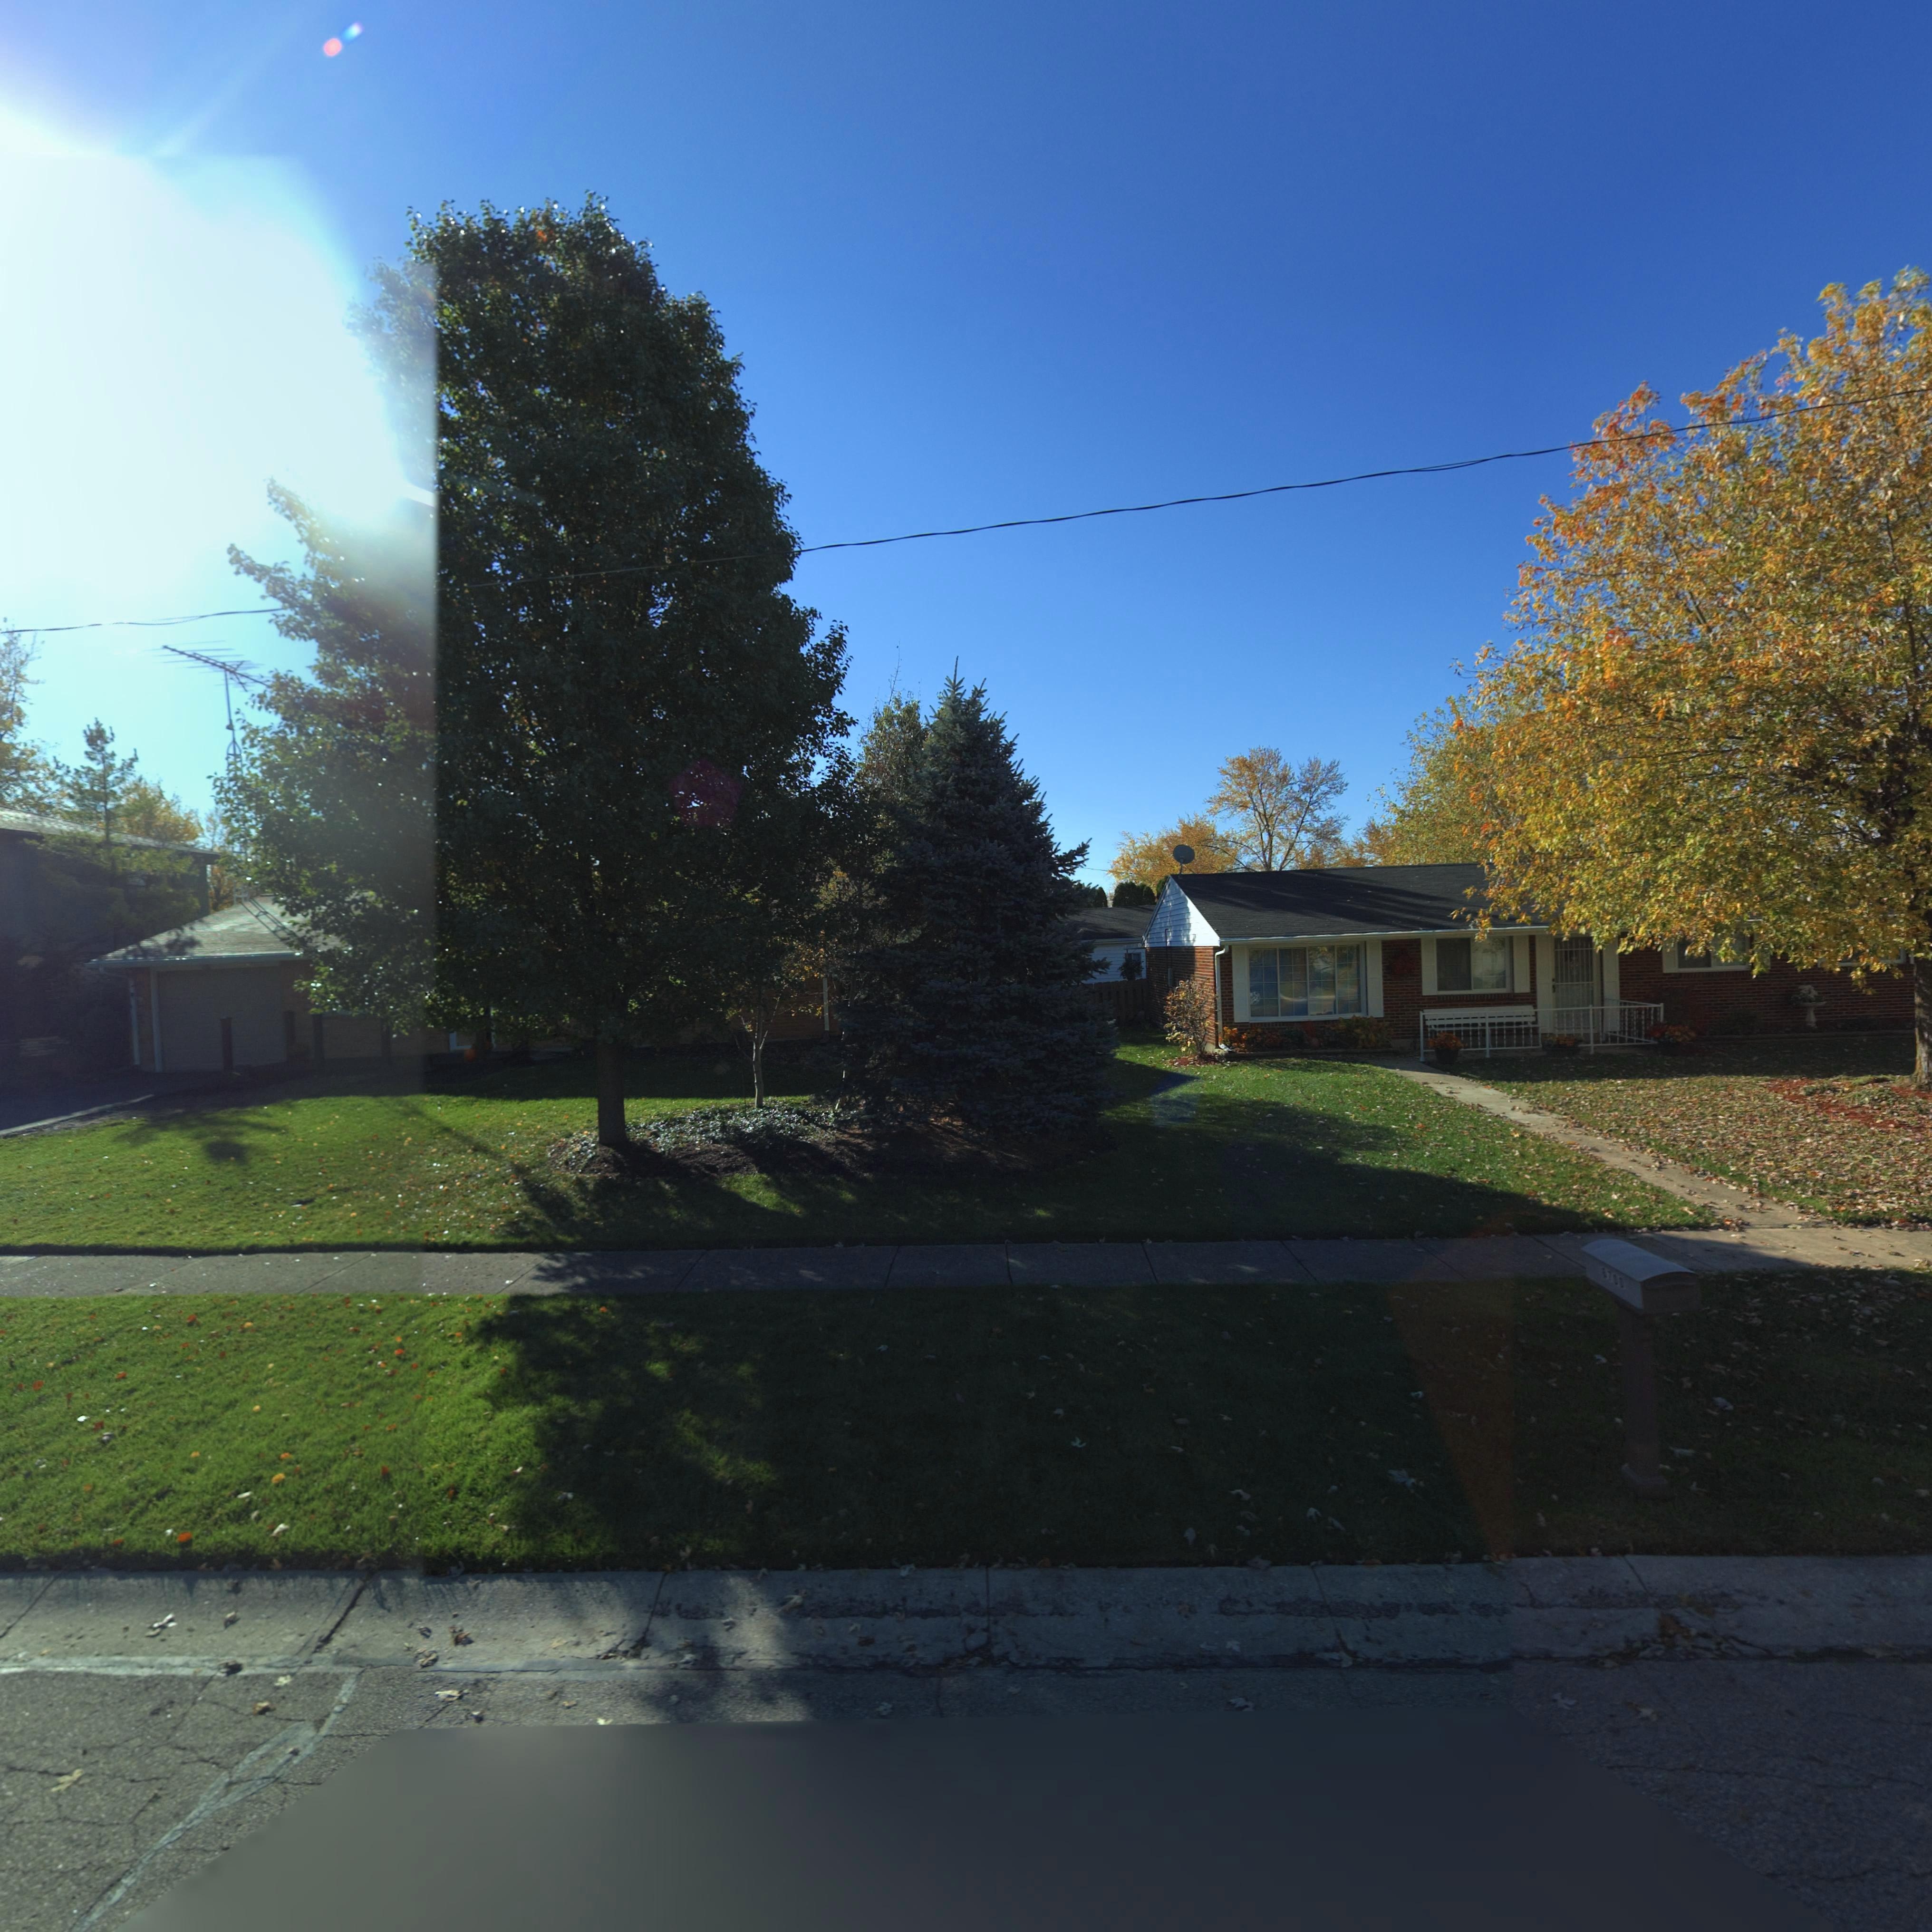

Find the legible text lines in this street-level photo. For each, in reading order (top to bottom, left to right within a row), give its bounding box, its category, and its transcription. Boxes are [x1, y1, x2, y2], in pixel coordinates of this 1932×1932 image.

[1601, 1265, 1626, 1291] StreetNumber: 6700